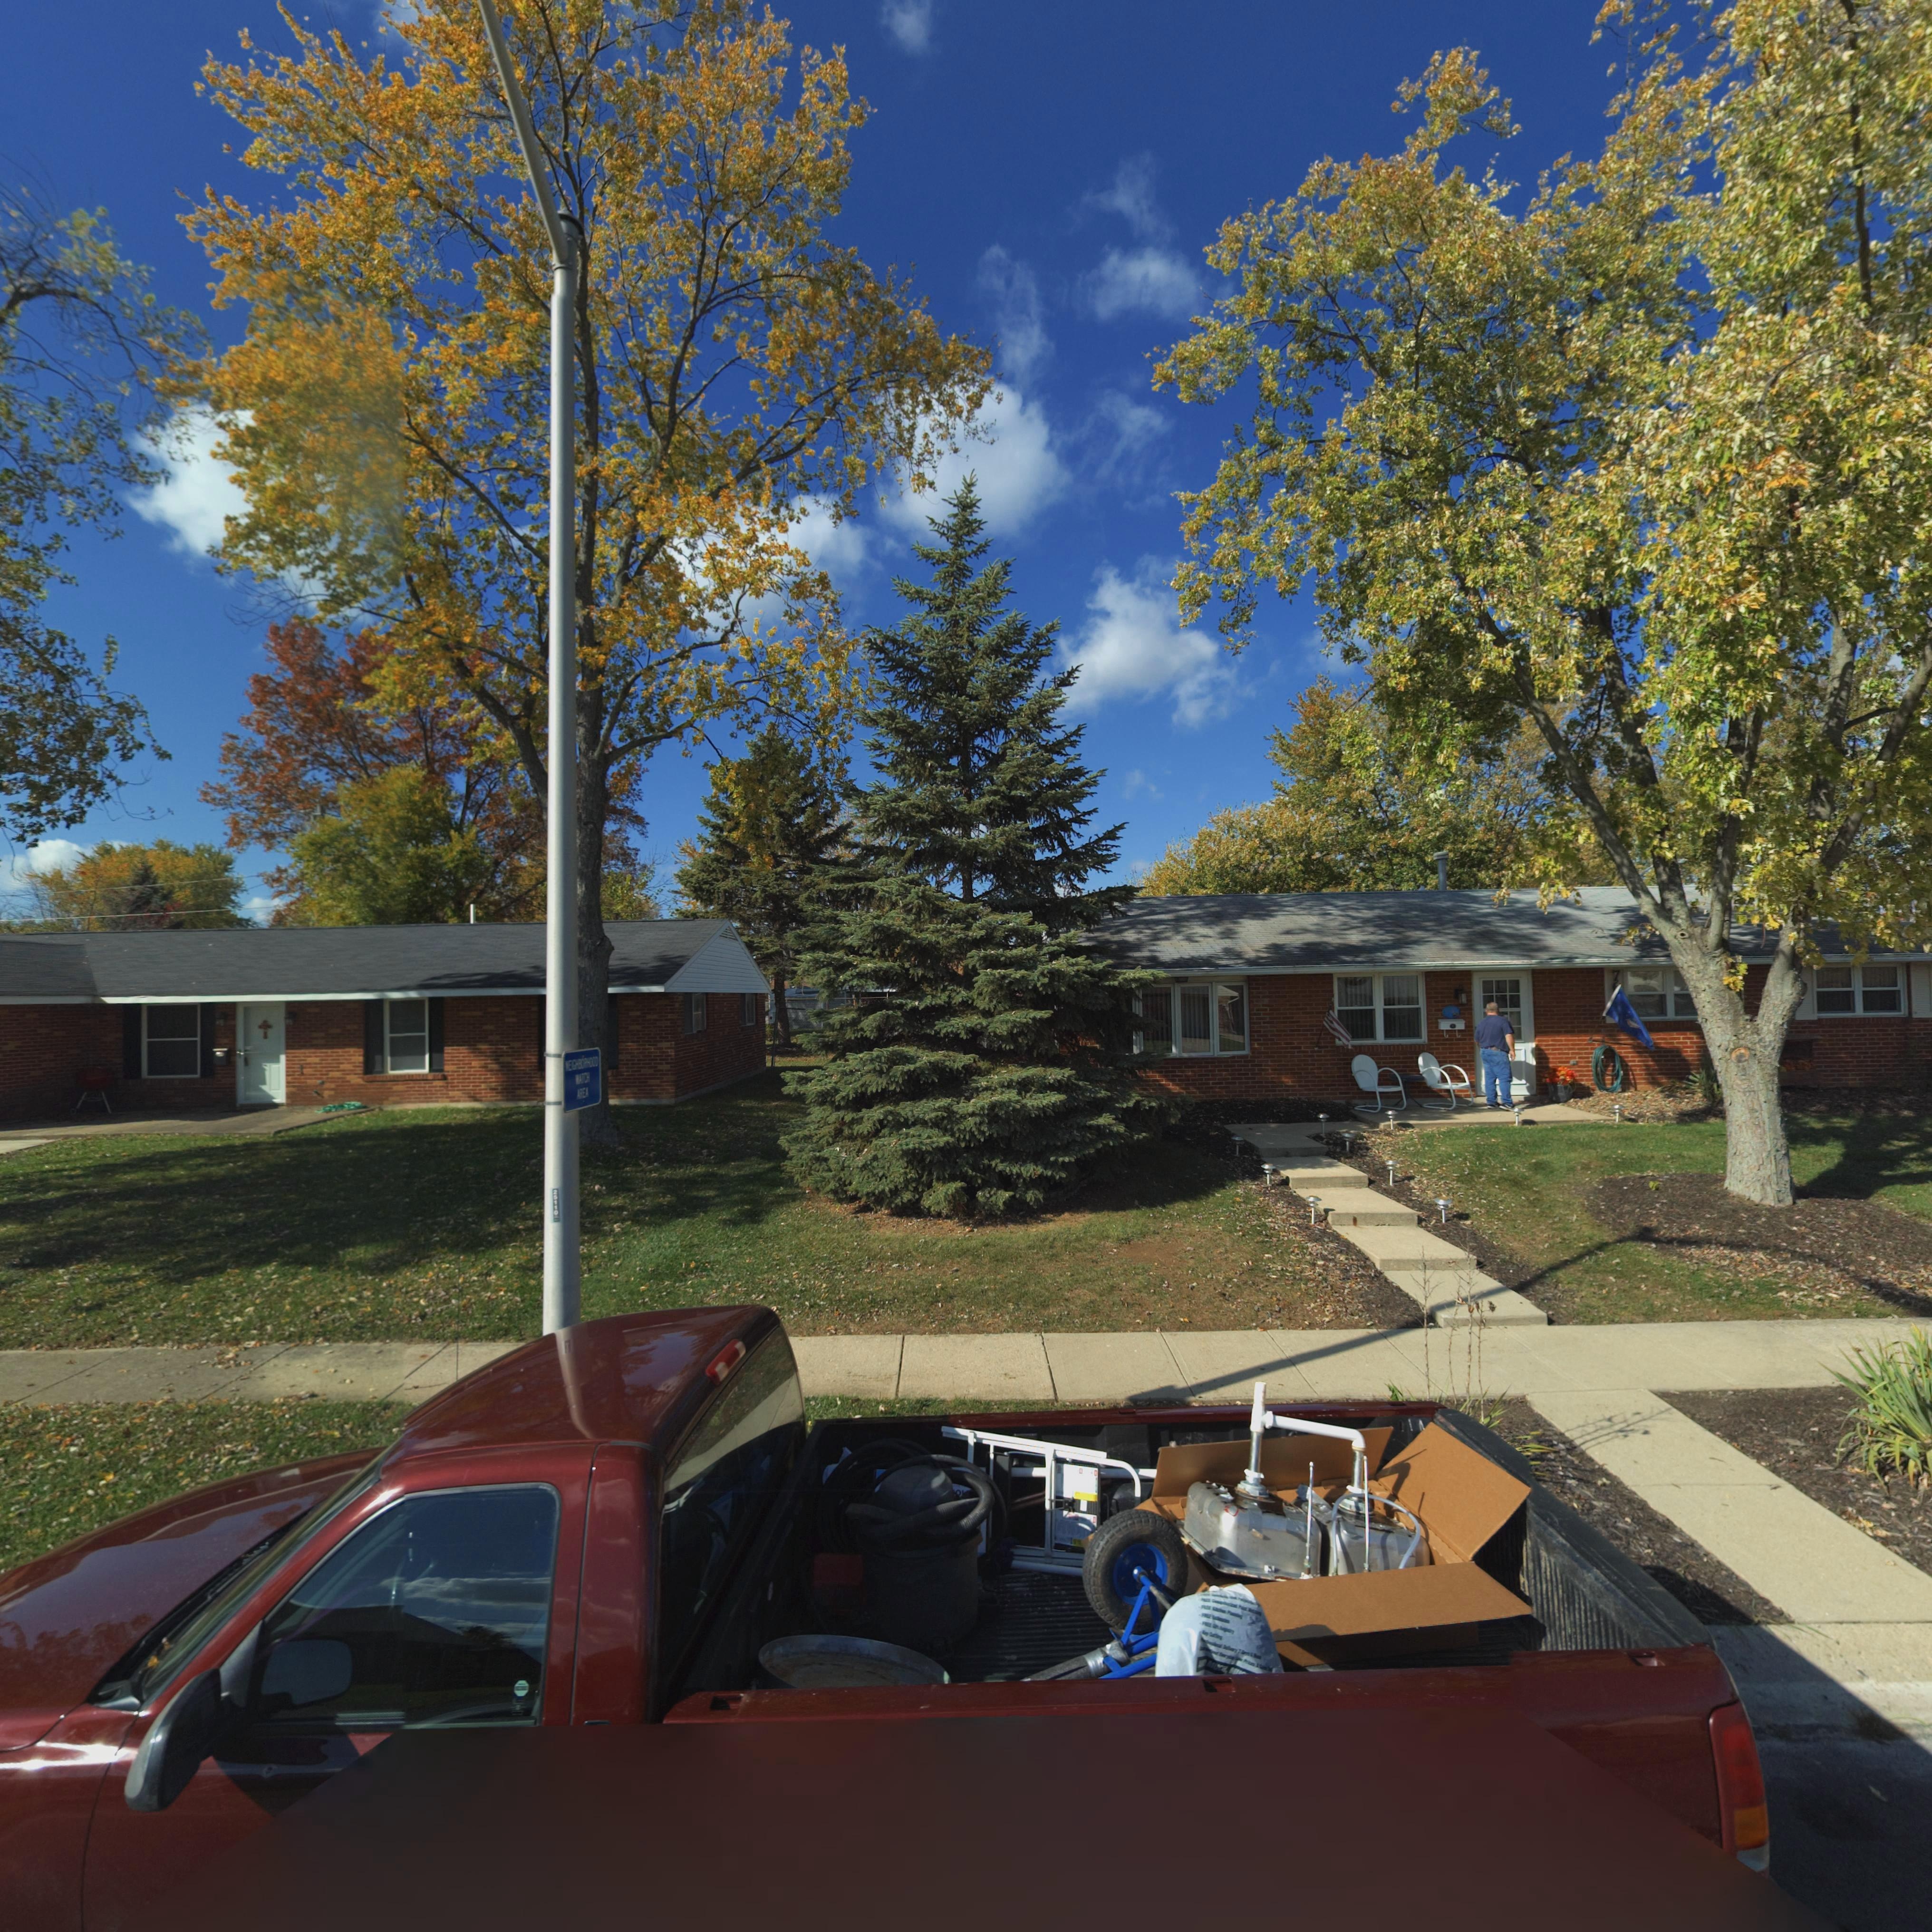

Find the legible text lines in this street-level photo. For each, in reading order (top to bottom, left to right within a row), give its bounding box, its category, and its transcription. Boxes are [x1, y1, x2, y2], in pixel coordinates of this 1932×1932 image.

[1612, 969, 1621, 982] StreetNumber: 7